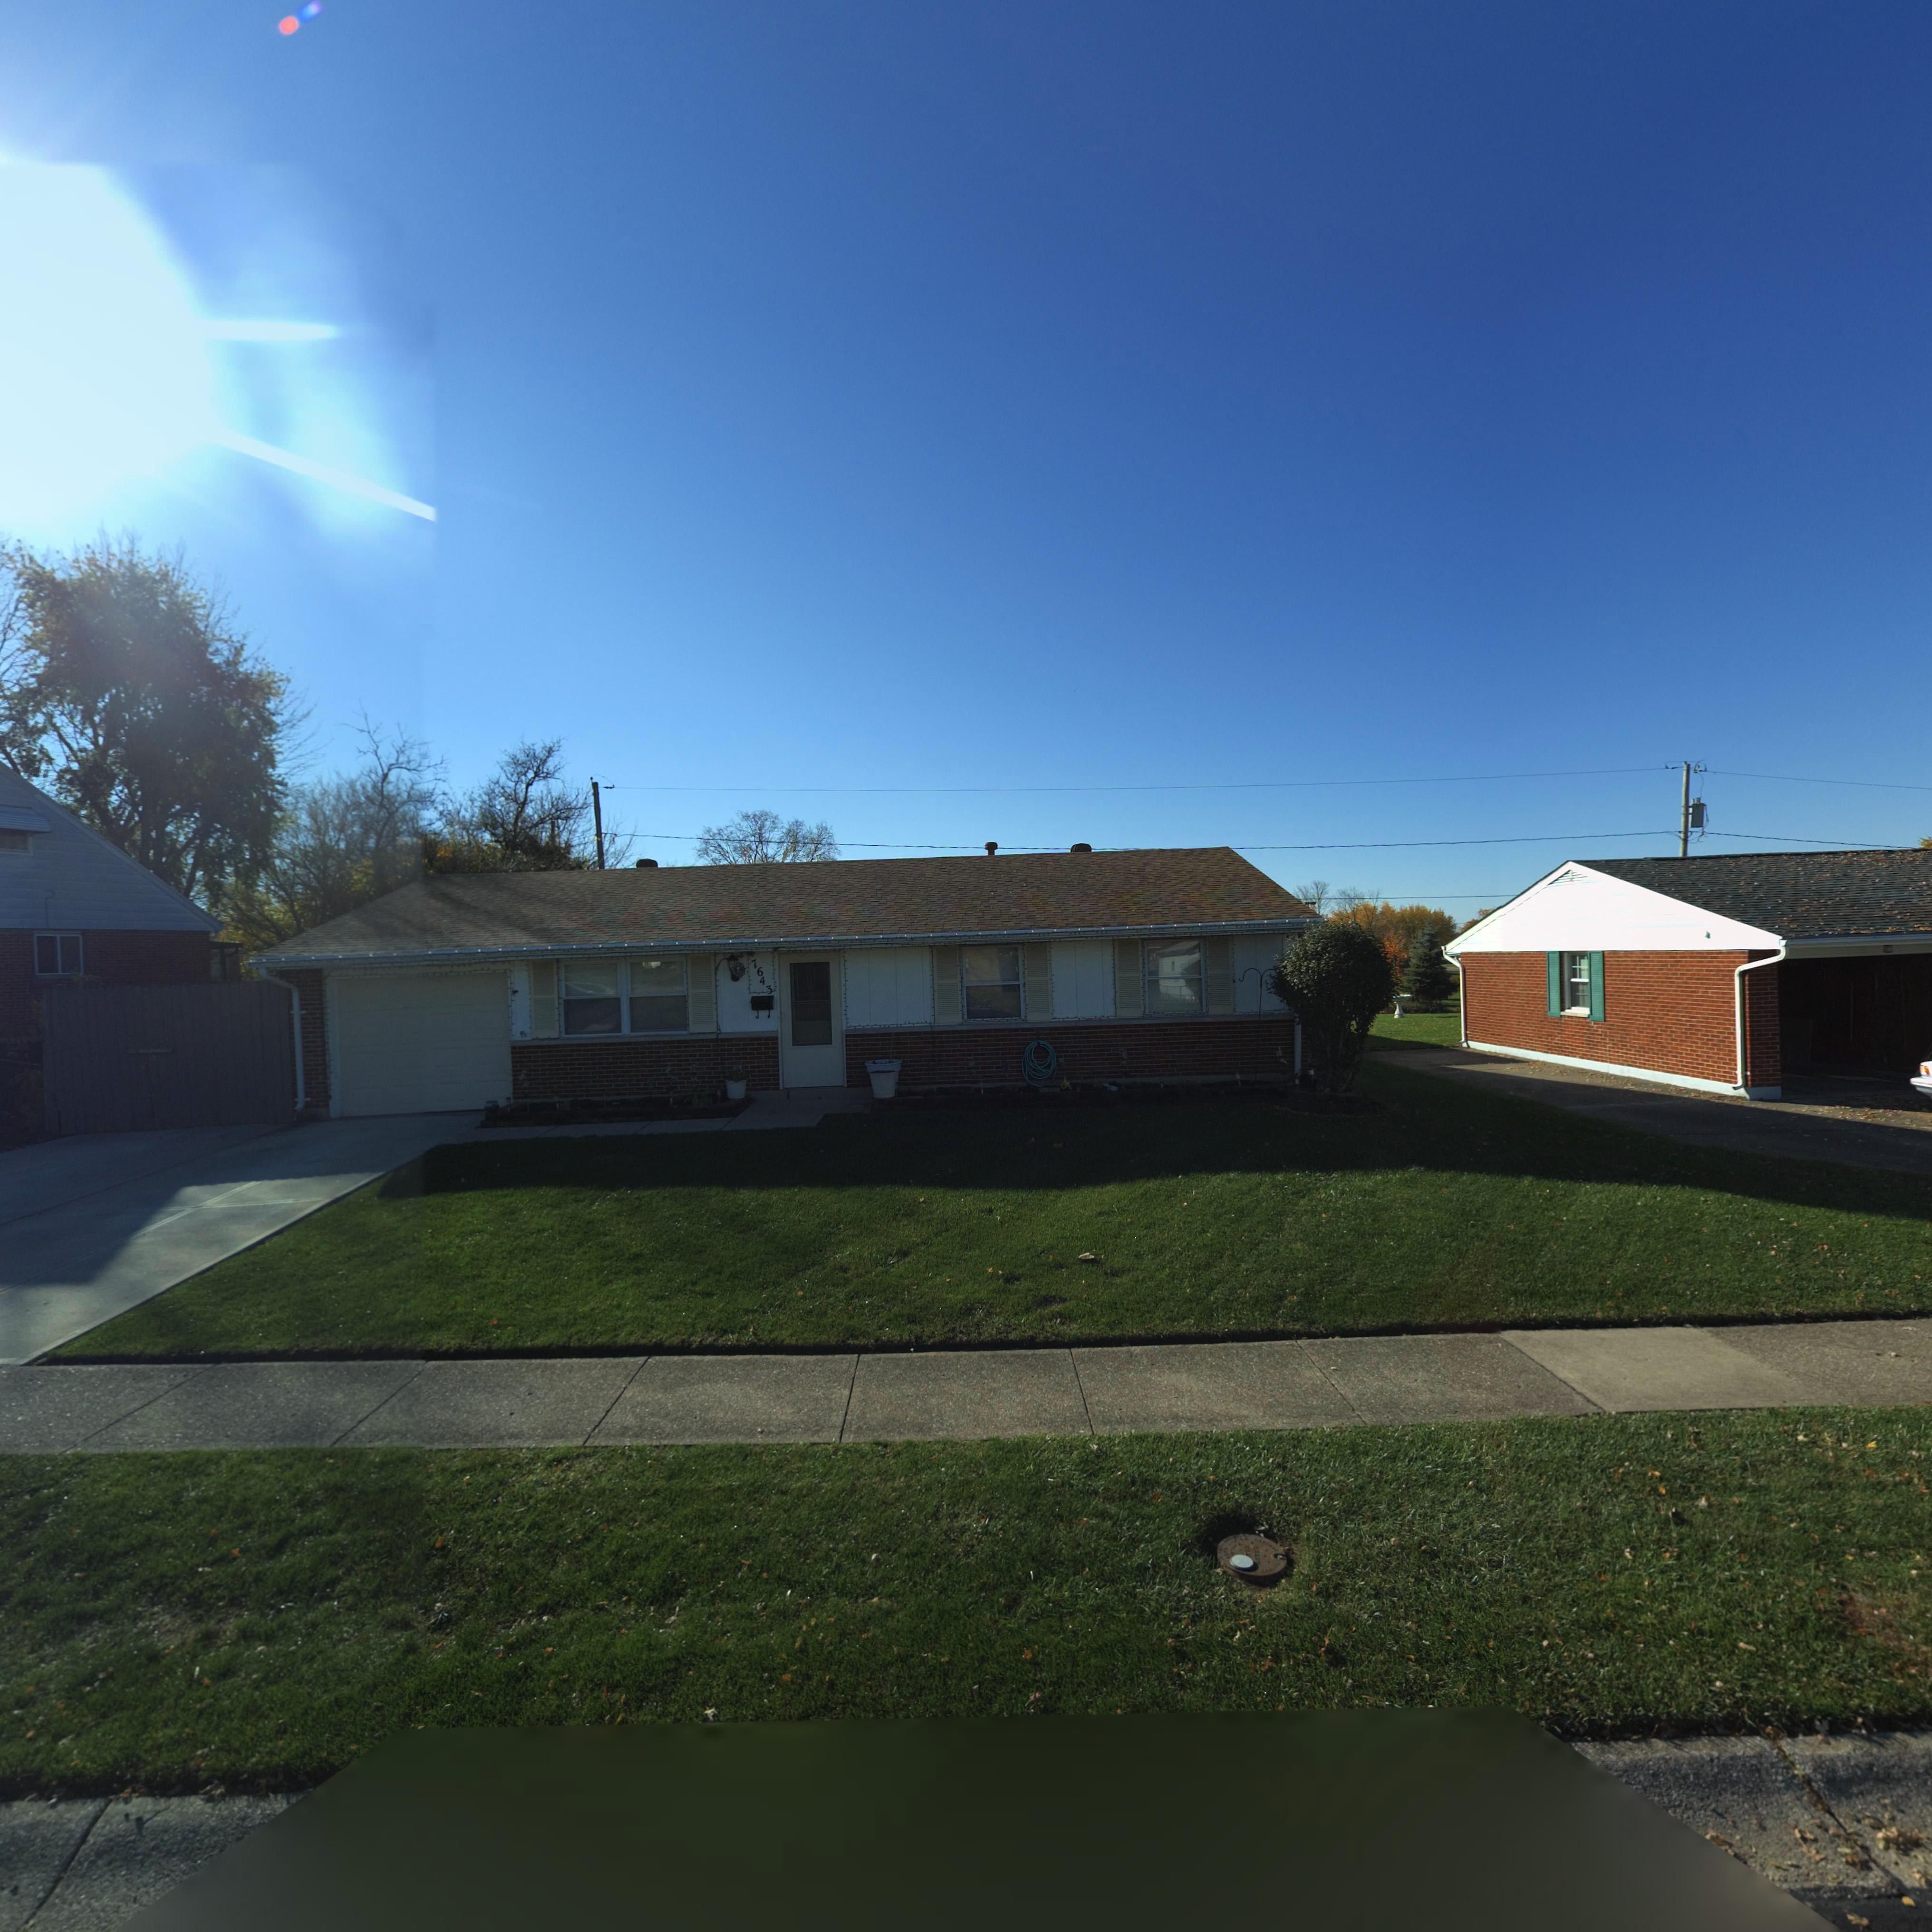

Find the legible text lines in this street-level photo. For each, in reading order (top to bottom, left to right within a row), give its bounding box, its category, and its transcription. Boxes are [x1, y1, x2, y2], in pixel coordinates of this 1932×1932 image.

[750, 956, 774, 995] StreetNumber: 7643